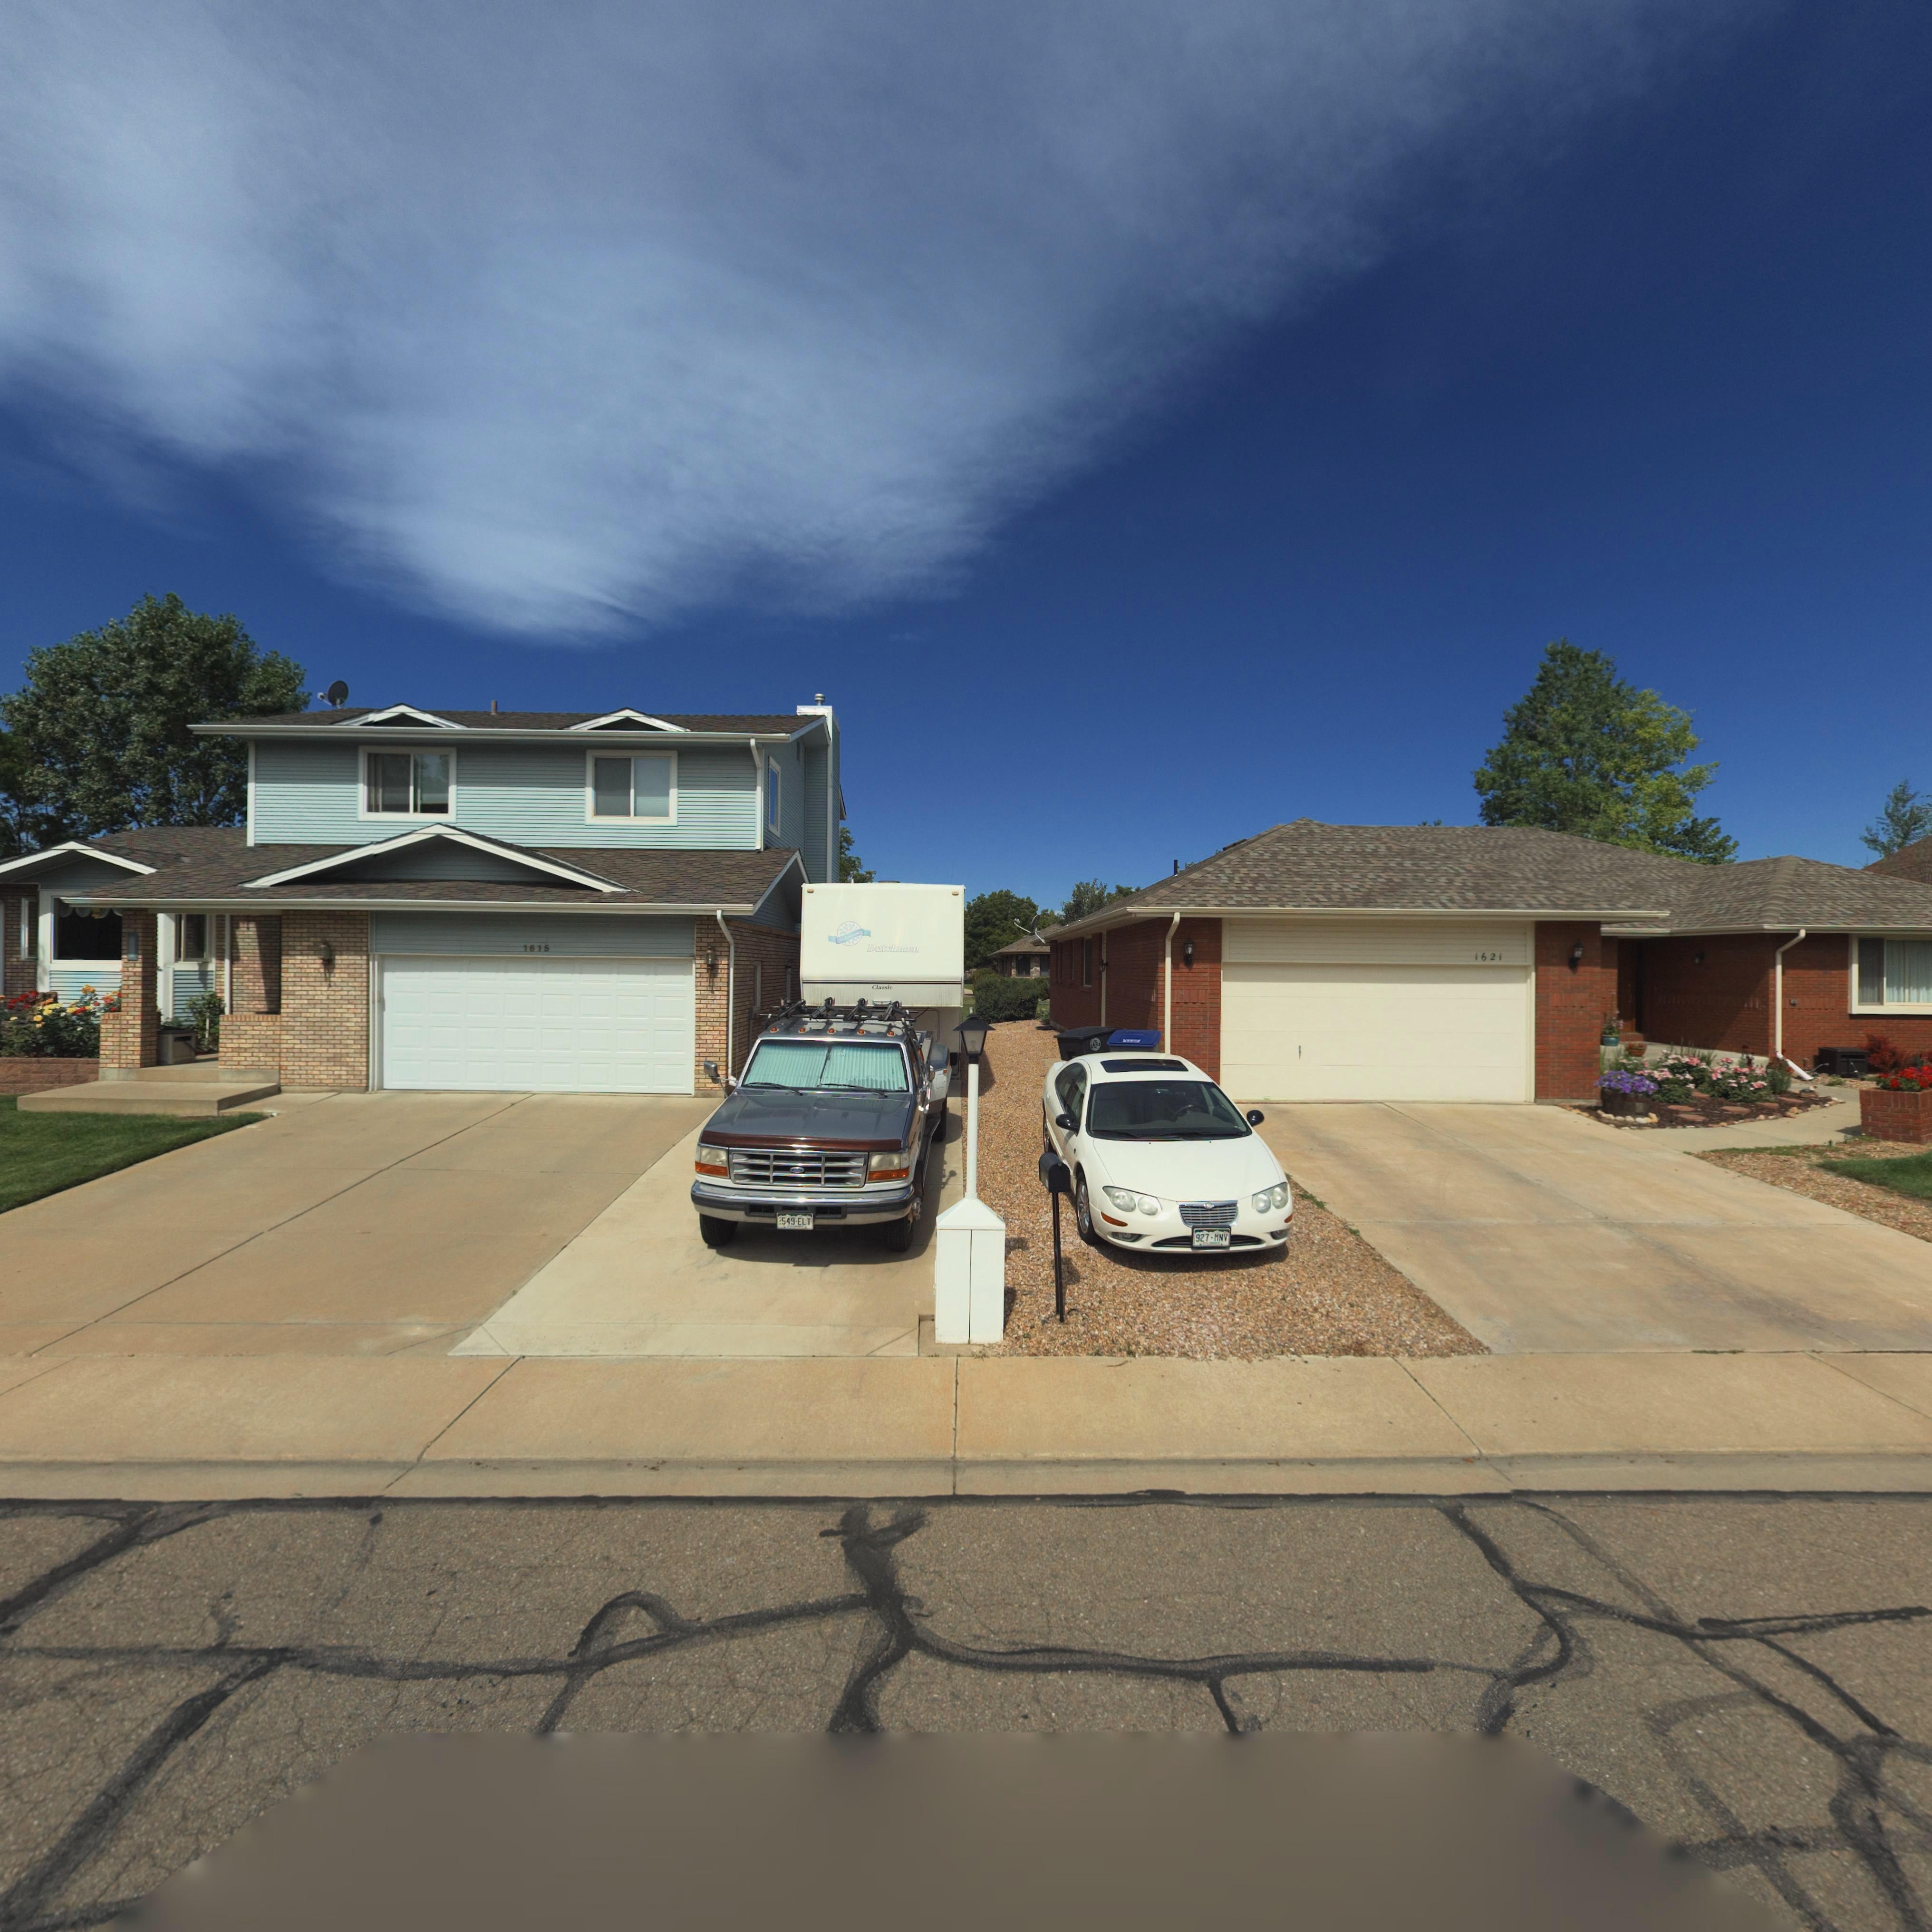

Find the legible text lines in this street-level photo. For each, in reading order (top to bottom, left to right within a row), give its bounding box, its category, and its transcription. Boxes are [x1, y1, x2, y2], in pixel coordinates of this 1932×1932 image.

[522, 944, 550, 952] StreetNumber: 1615
[1475, 951, 1503, 961] StreetNumber: 1621